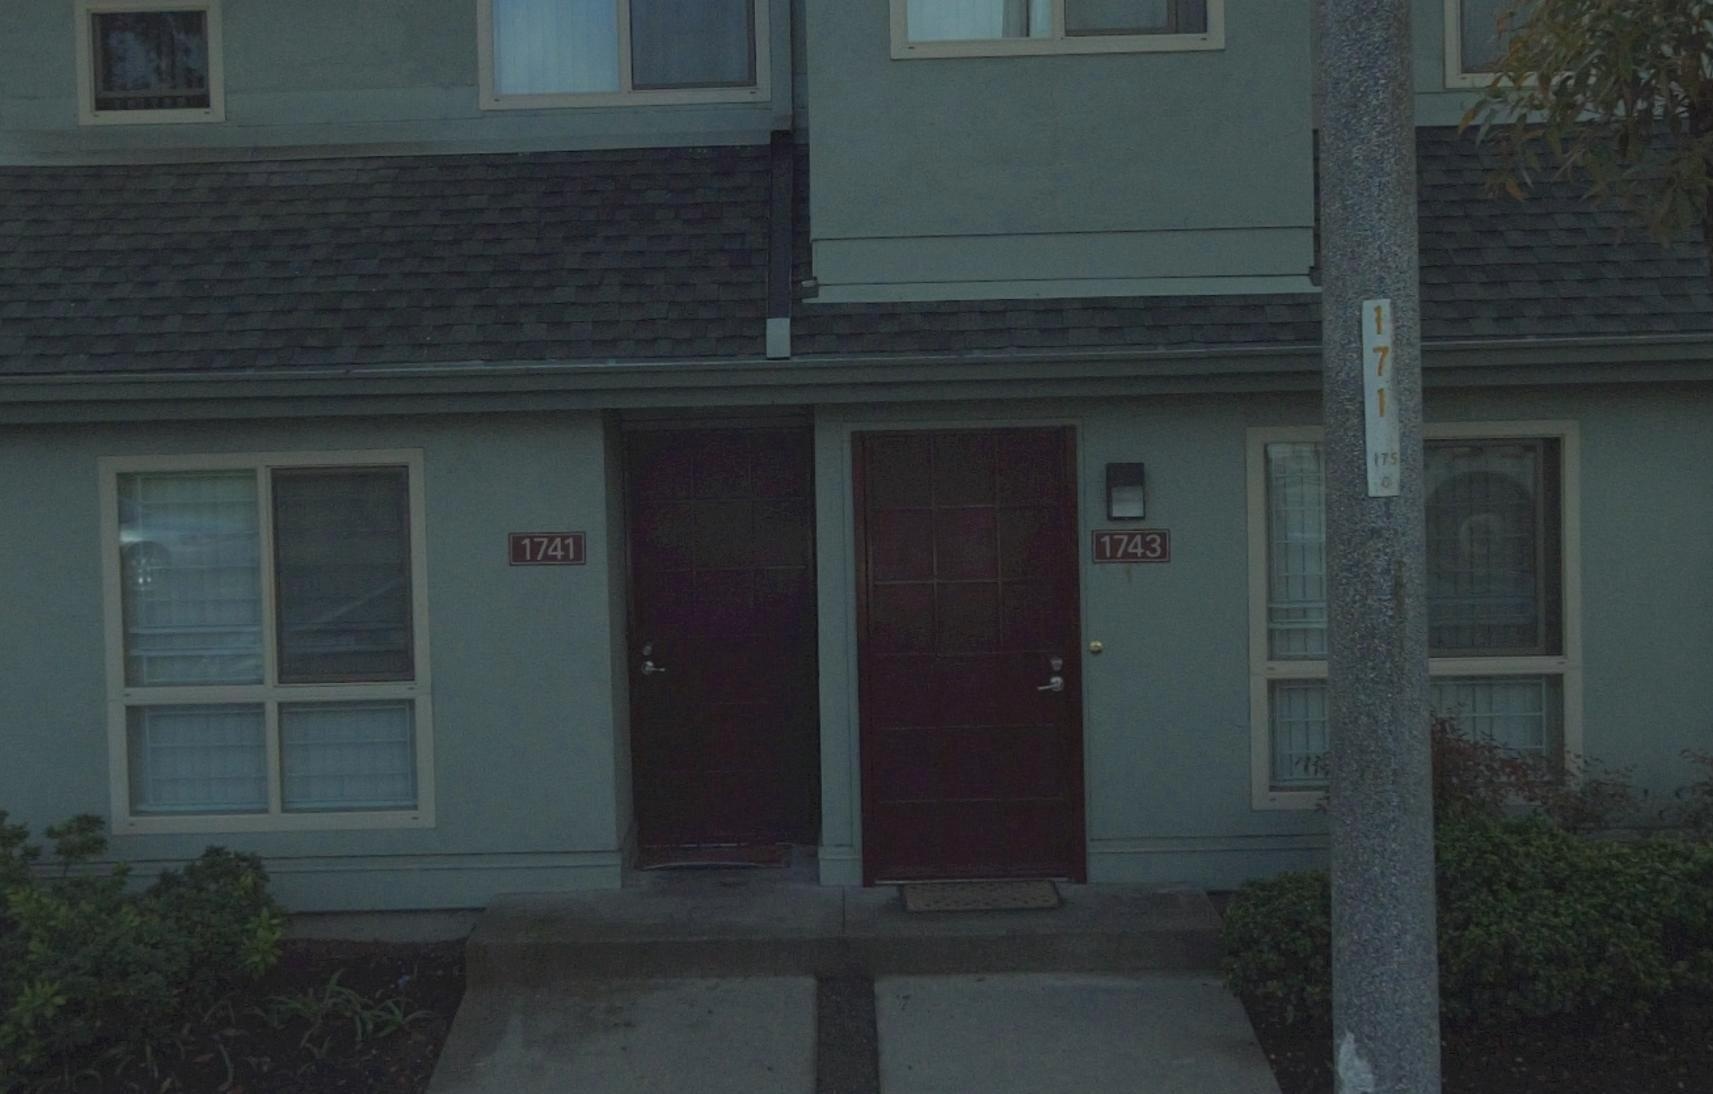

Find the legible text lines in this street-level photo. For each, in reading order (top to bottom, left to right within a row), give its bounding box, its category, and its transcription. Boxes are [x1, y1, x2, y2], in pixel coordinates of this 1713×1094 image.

[1369, 299, 1392, 421] None: 171
[1371, 449, 1400, 469] None: 175
[518, 535, 576, 562] StreetNumber: 1741
[1098, 532, 1163, 559] StreetNumber: 1743